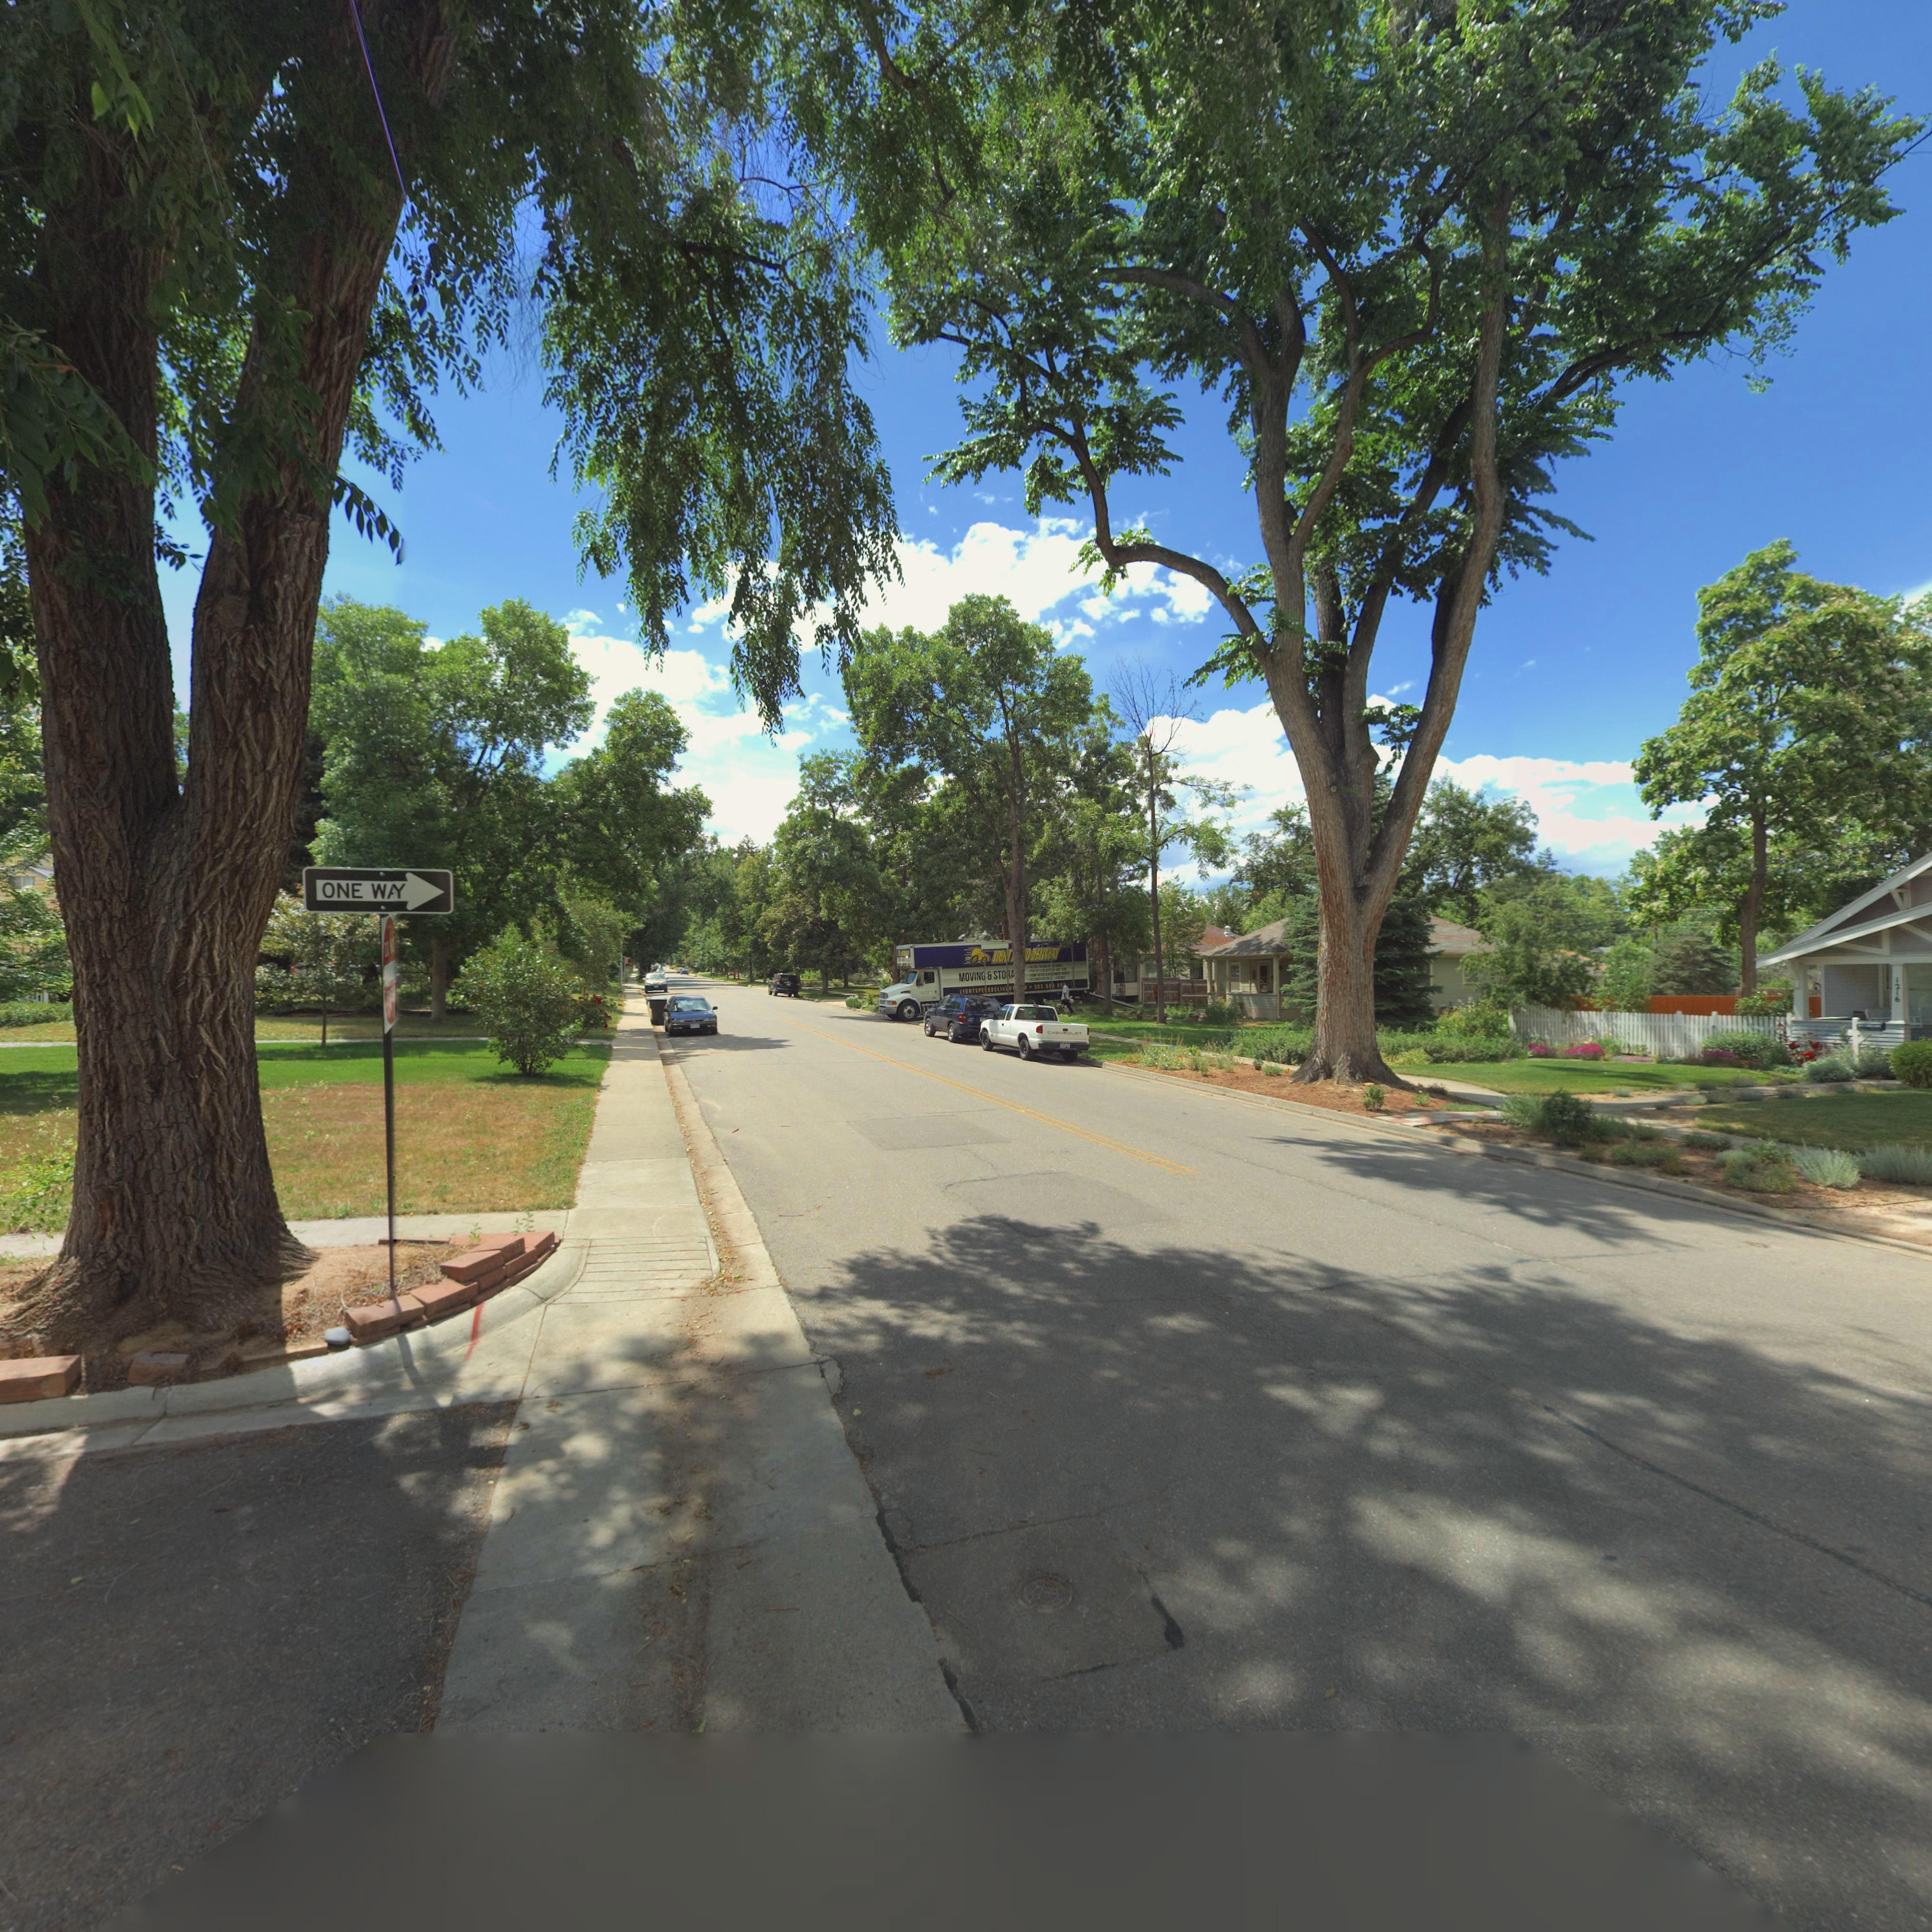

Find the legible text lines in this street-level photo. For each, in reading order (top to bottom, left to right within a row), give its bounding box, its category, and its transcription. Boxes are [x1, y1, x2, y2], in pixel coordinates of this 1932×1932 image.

[1894, 976, 1901, 1003] StreetNumber: 1216